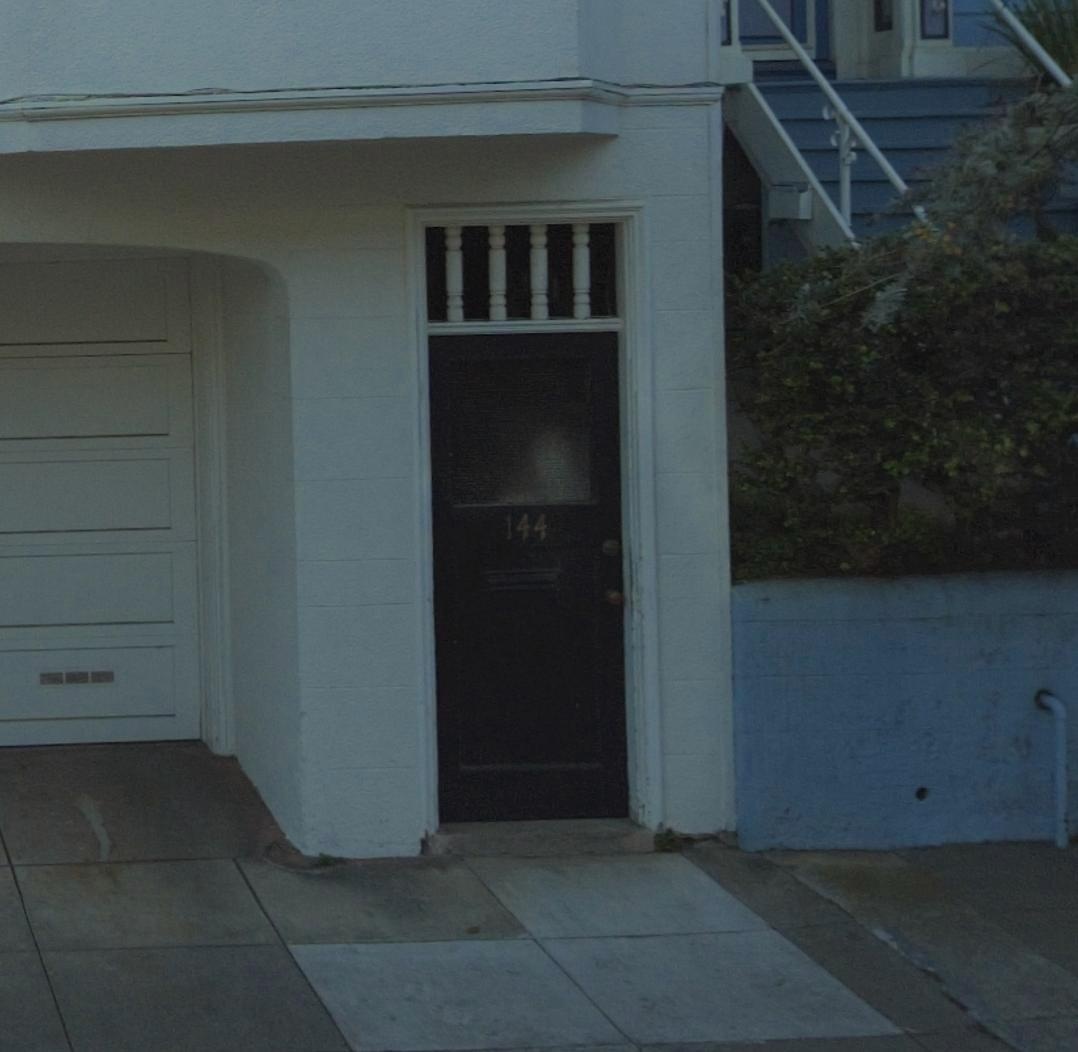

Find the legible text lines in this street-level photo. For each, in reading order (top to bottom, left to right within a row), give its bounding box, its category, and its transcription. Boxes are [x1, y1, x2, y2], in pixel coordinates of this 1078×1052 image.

[502, 513, 549, 541] StreetNumber: 144